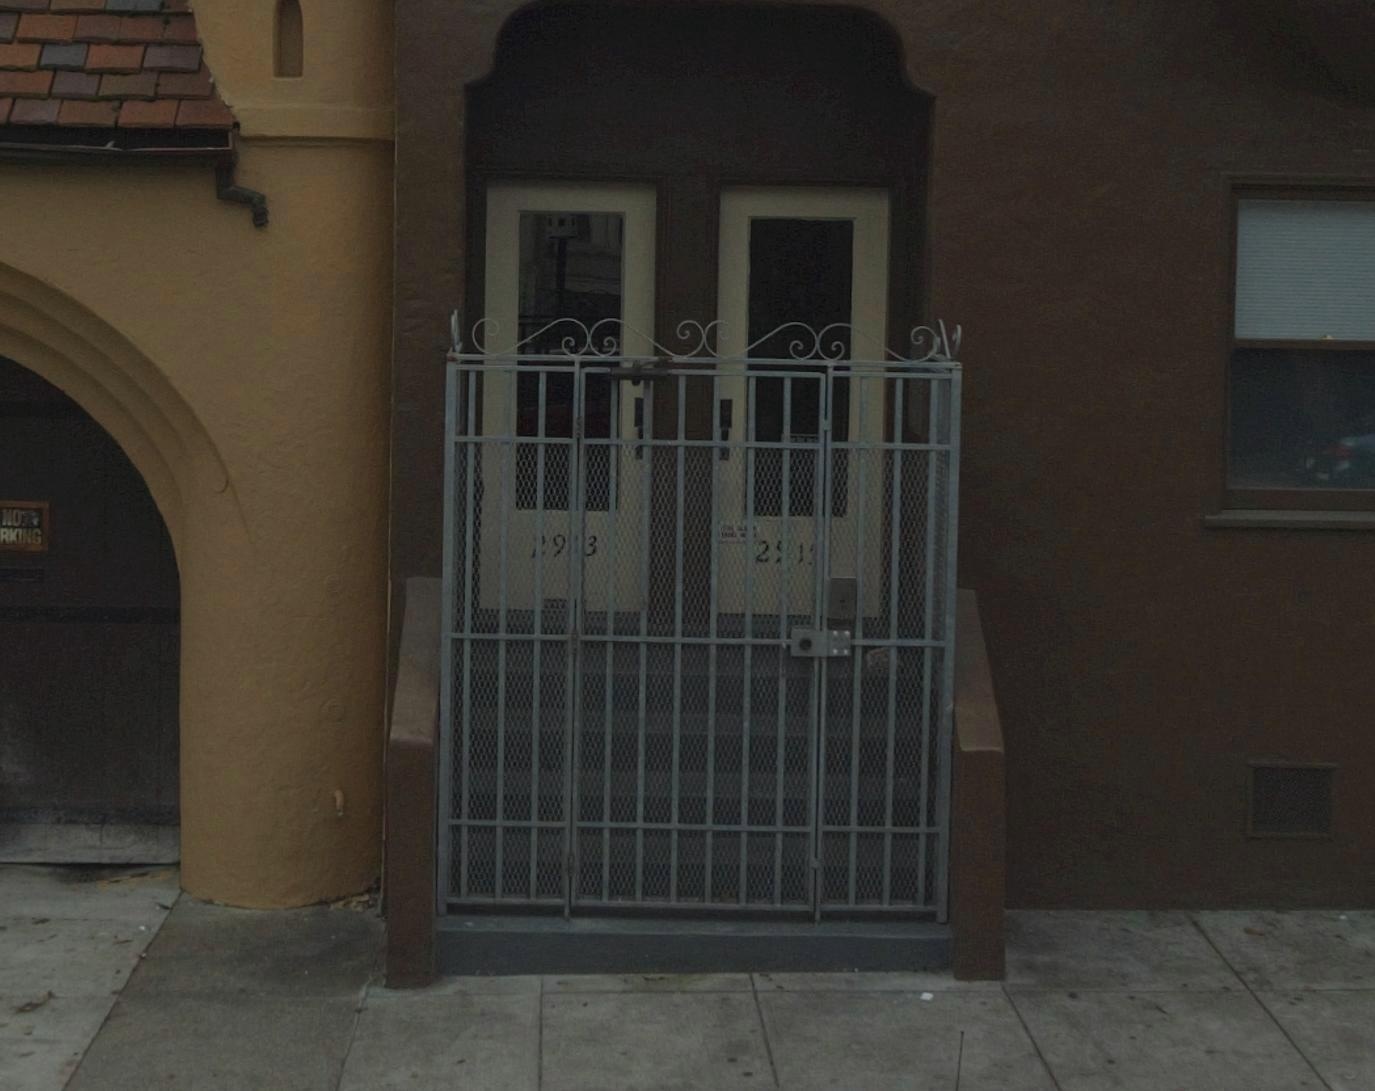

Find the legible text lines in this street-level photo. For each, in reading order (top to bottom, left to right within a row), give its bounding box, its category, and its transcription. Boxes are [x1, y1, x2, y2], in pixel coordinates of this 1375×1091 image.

[1, 506, 24, 528] None: NO
[0, 526, 43, 547] None: RKING
[530, 532, 599, 559] StreetNumber: *9*3
[753, 538, 824, 568] StreetNumber: 2*1*